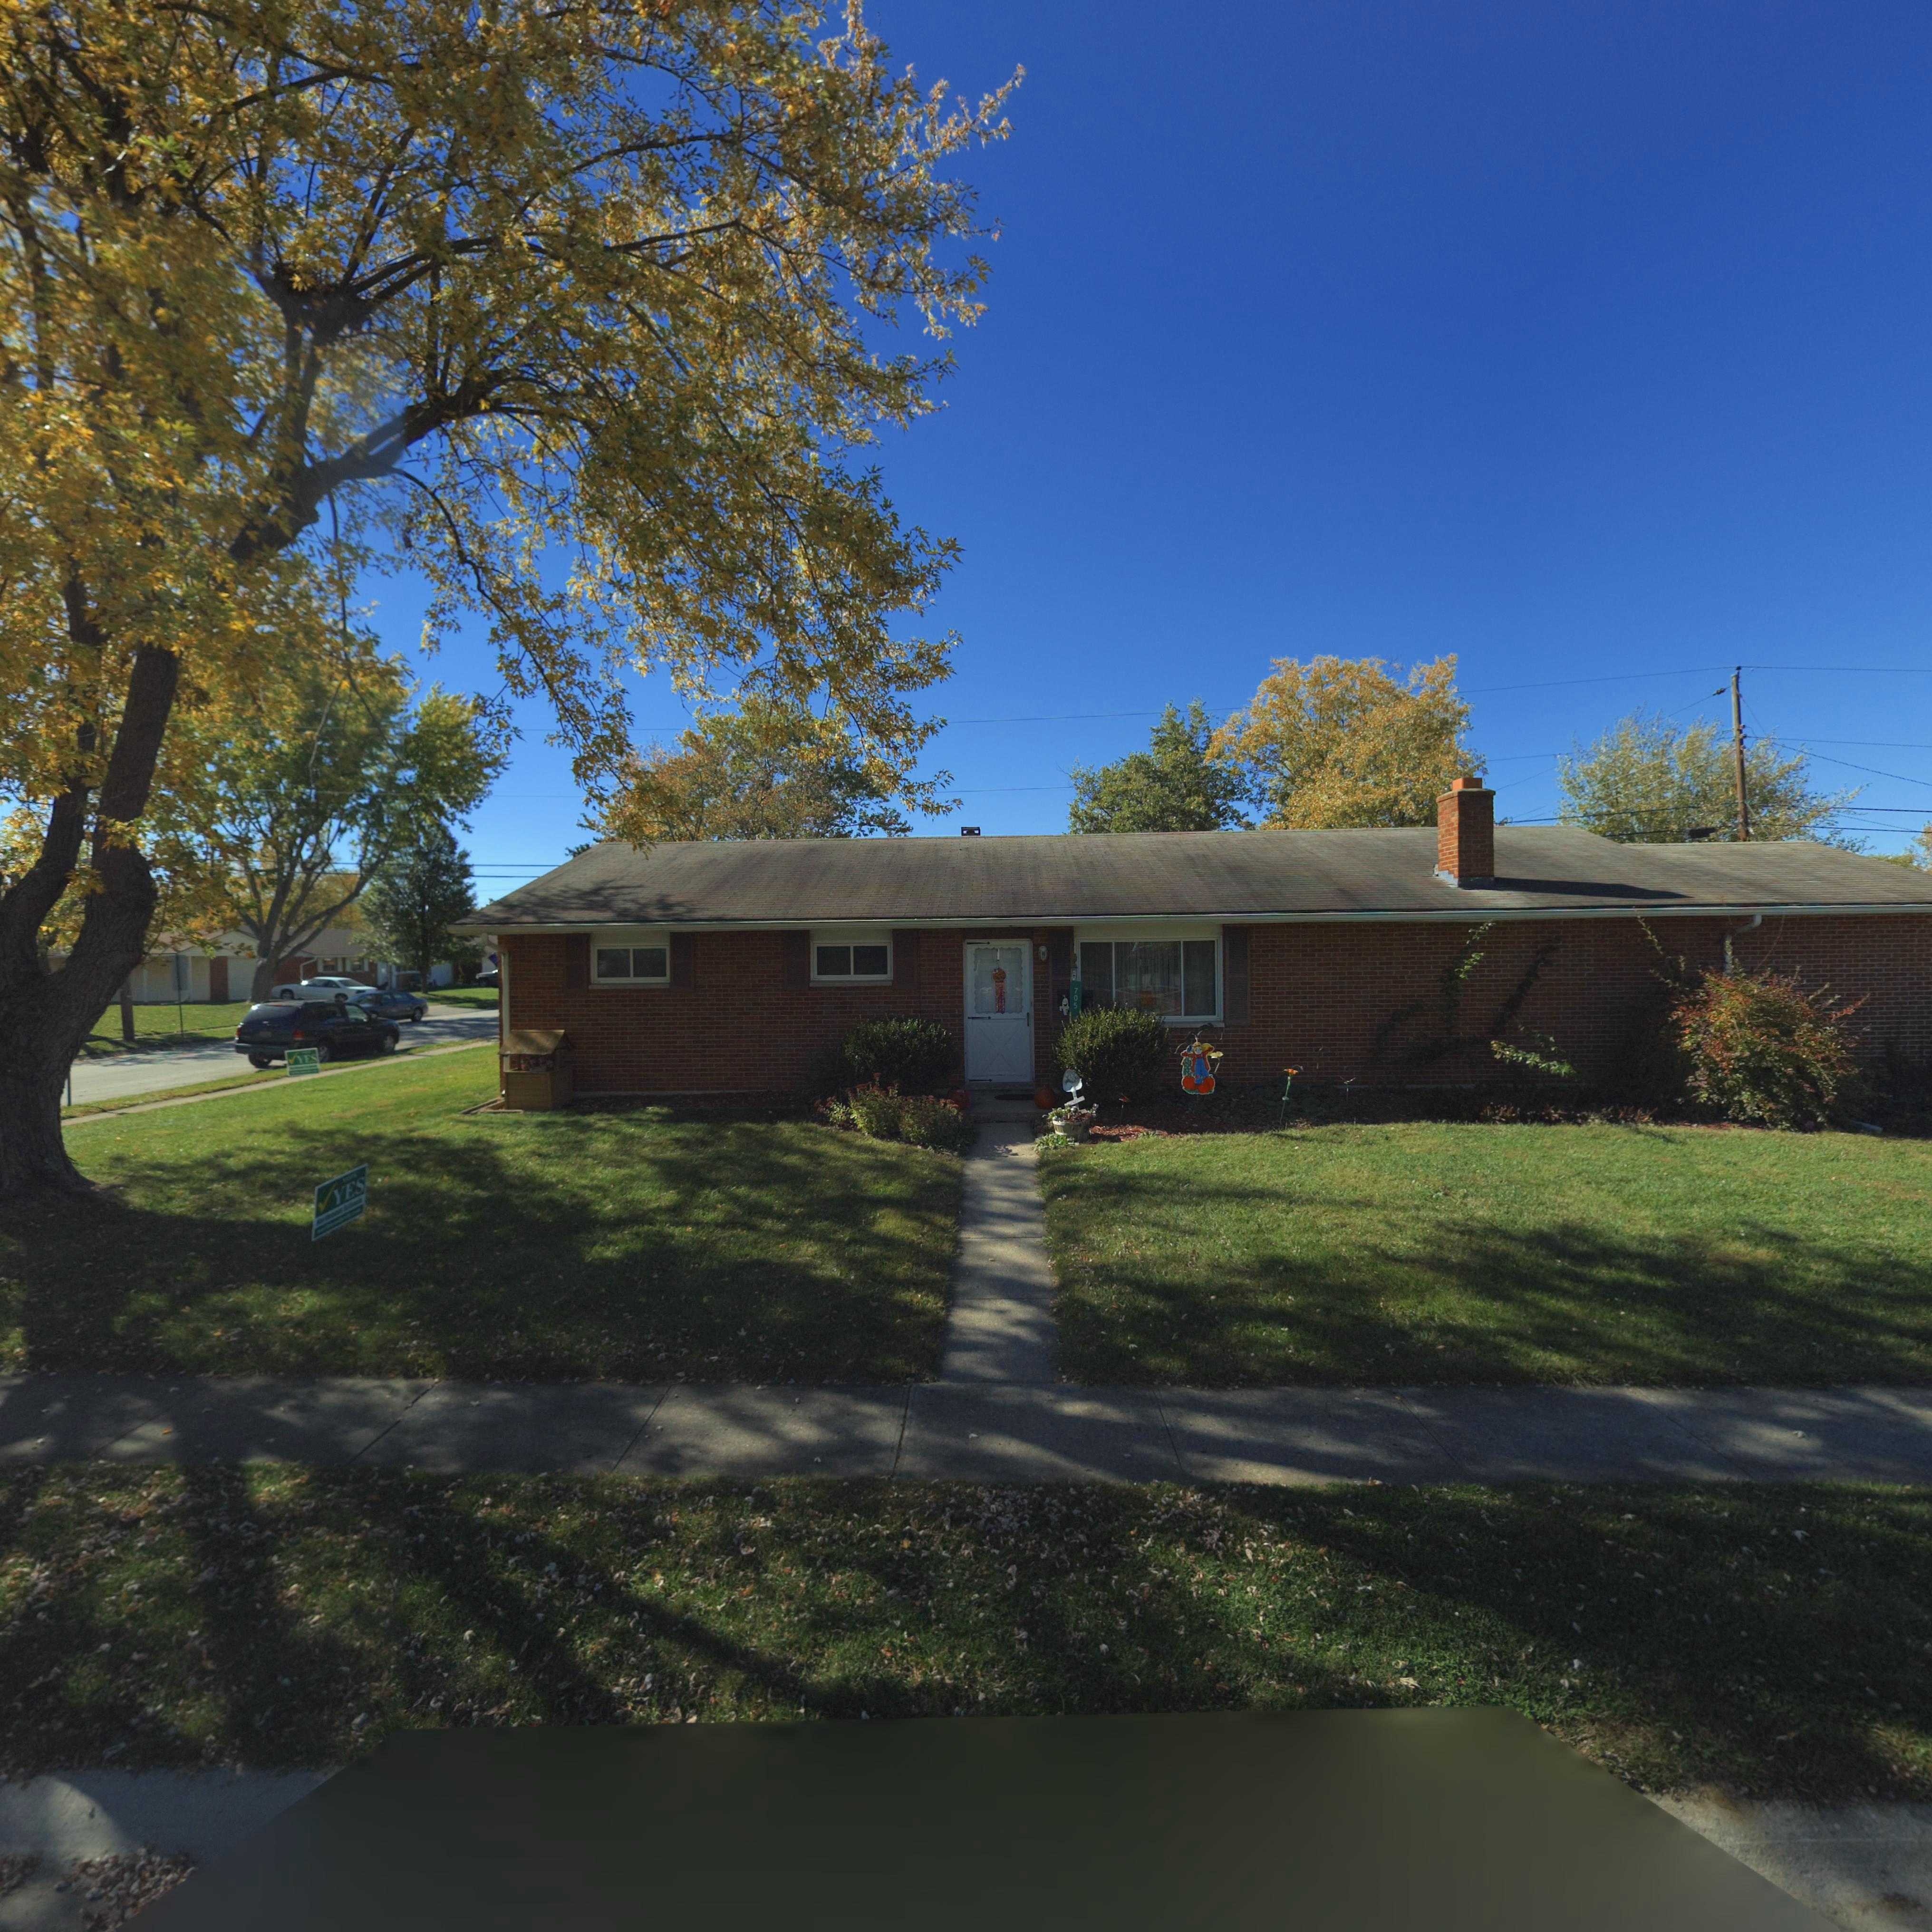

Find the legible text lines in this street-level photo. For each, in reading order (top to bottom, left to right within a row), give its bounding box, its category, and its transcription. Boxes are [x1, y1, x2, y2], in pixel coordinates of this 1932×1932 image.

[1072, 987, 1079, 1010] StreetNumber: 705